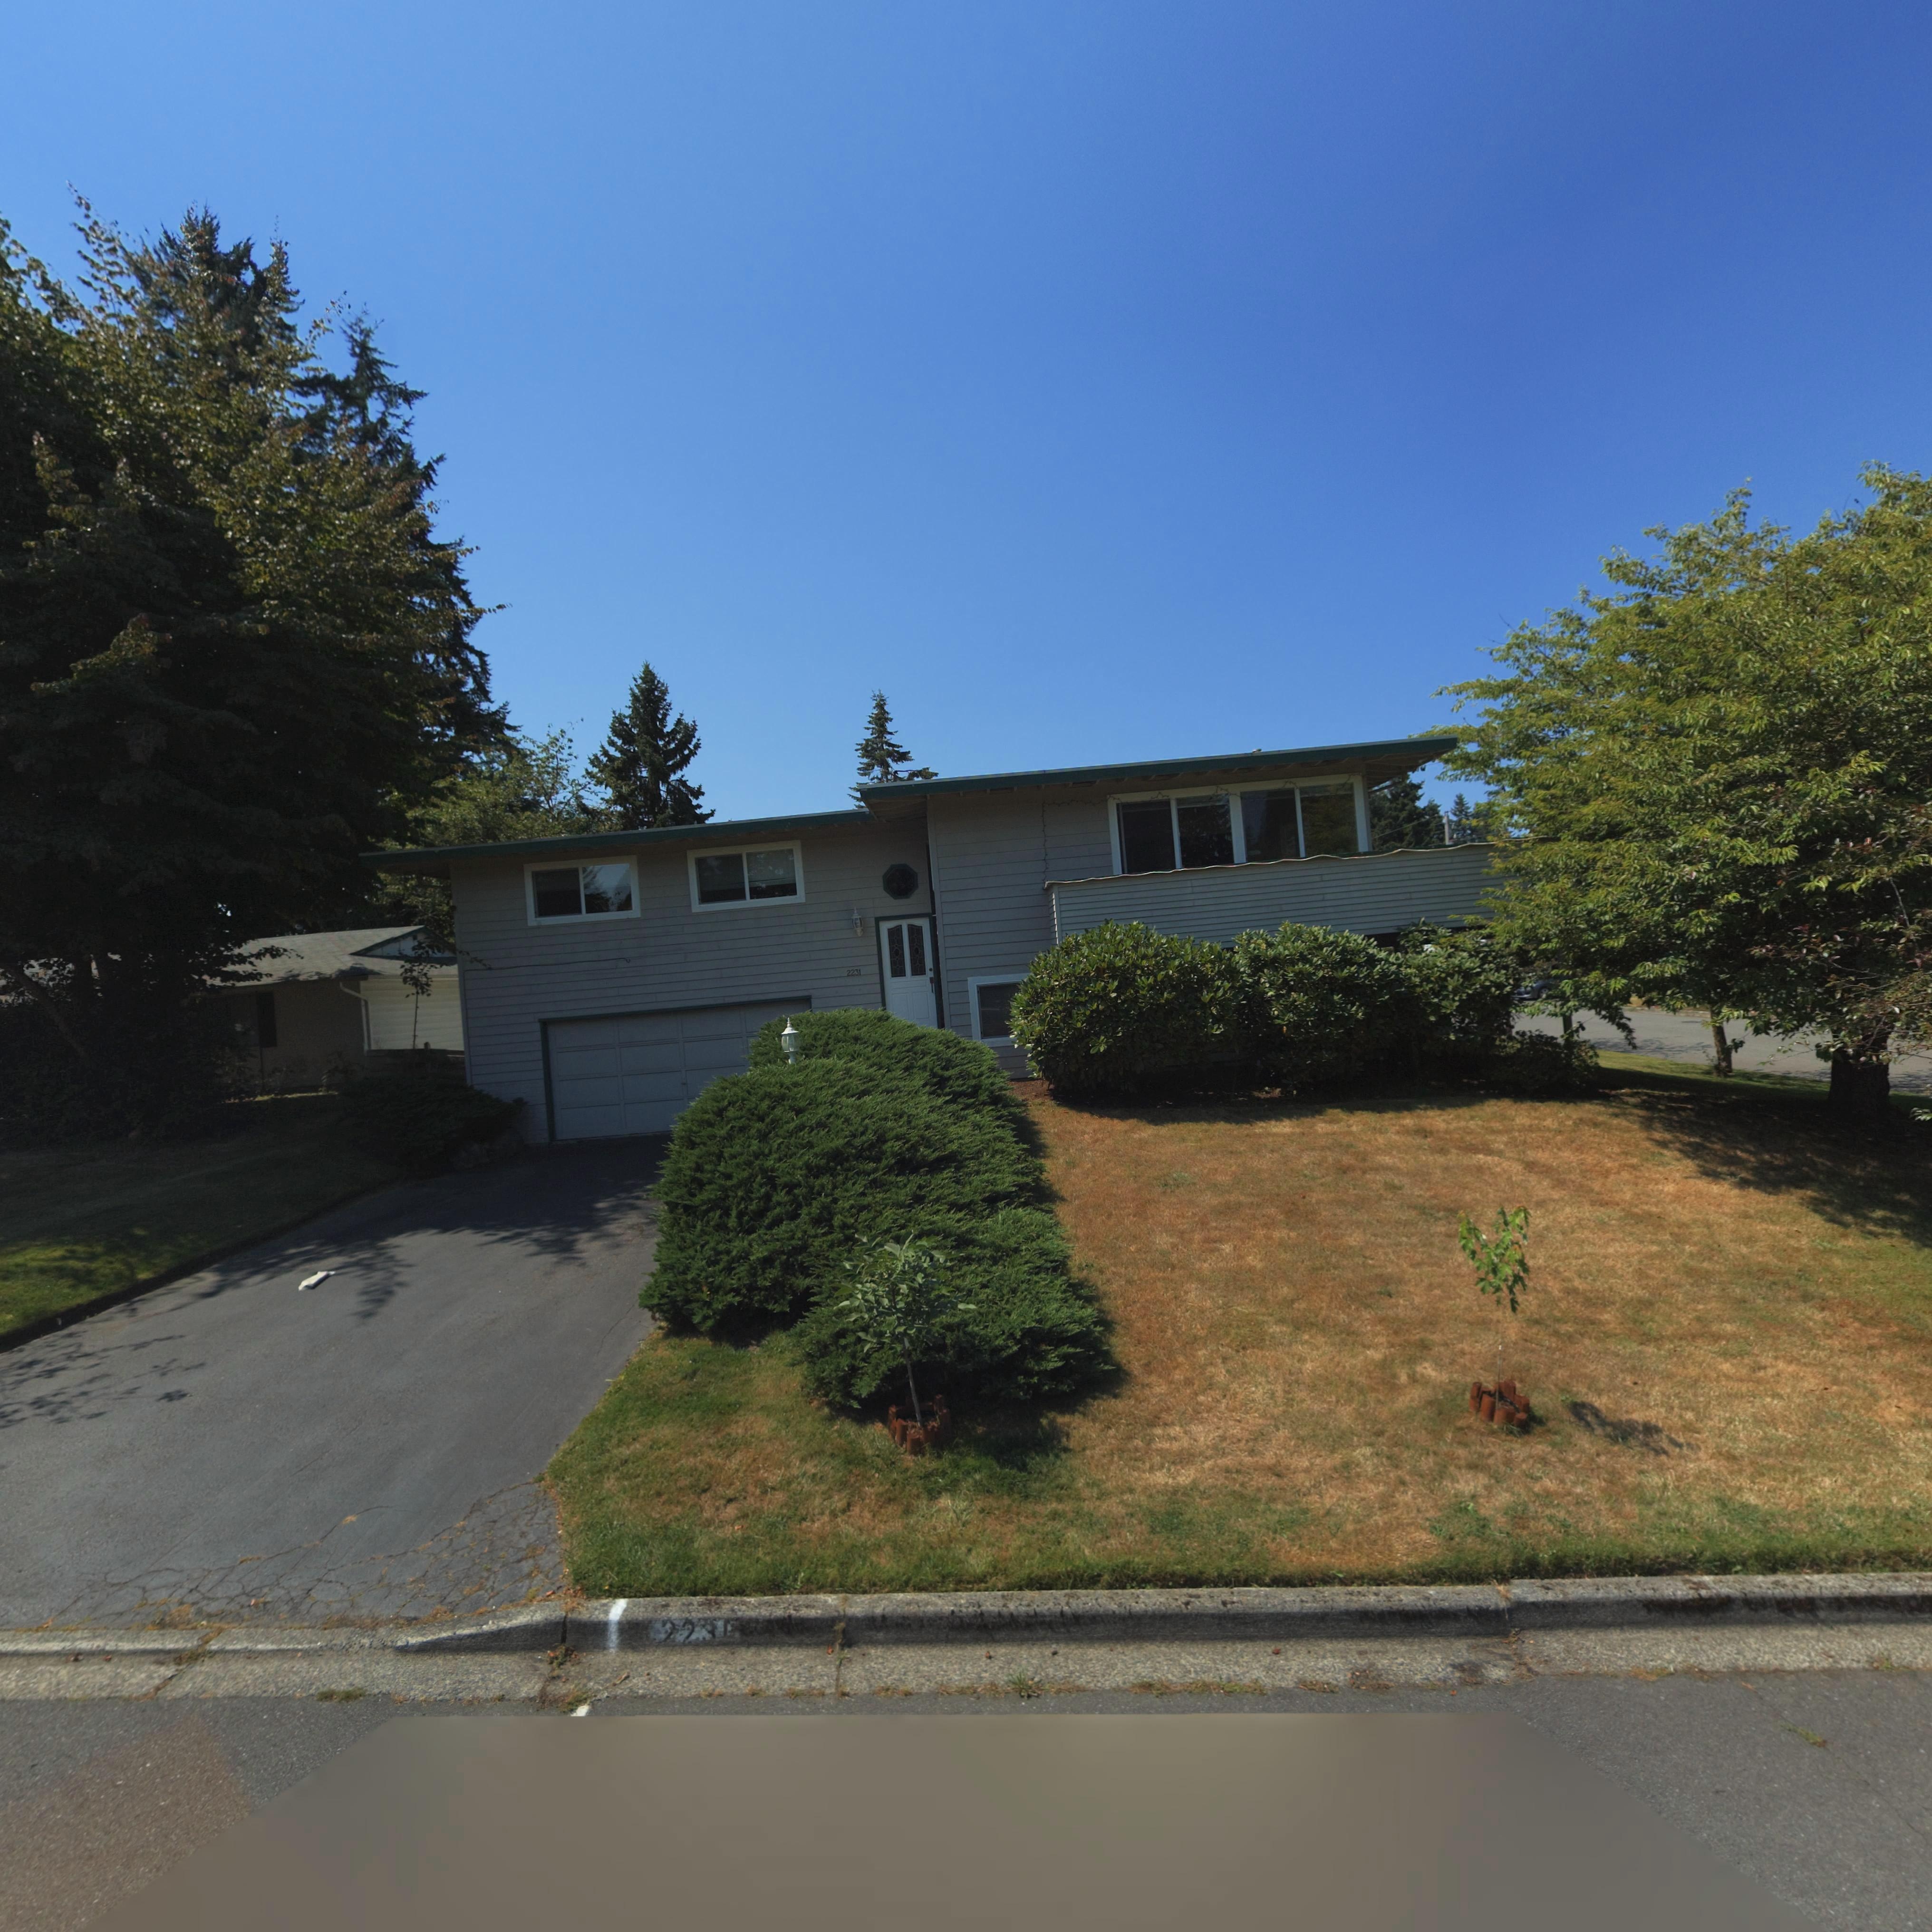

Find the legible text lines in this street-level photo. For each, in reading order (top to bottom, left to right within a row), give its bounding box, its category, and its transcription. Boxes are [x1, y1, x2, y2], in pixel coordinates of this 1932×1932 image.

[847, 966, 861, 976] StreetNumber: 2231